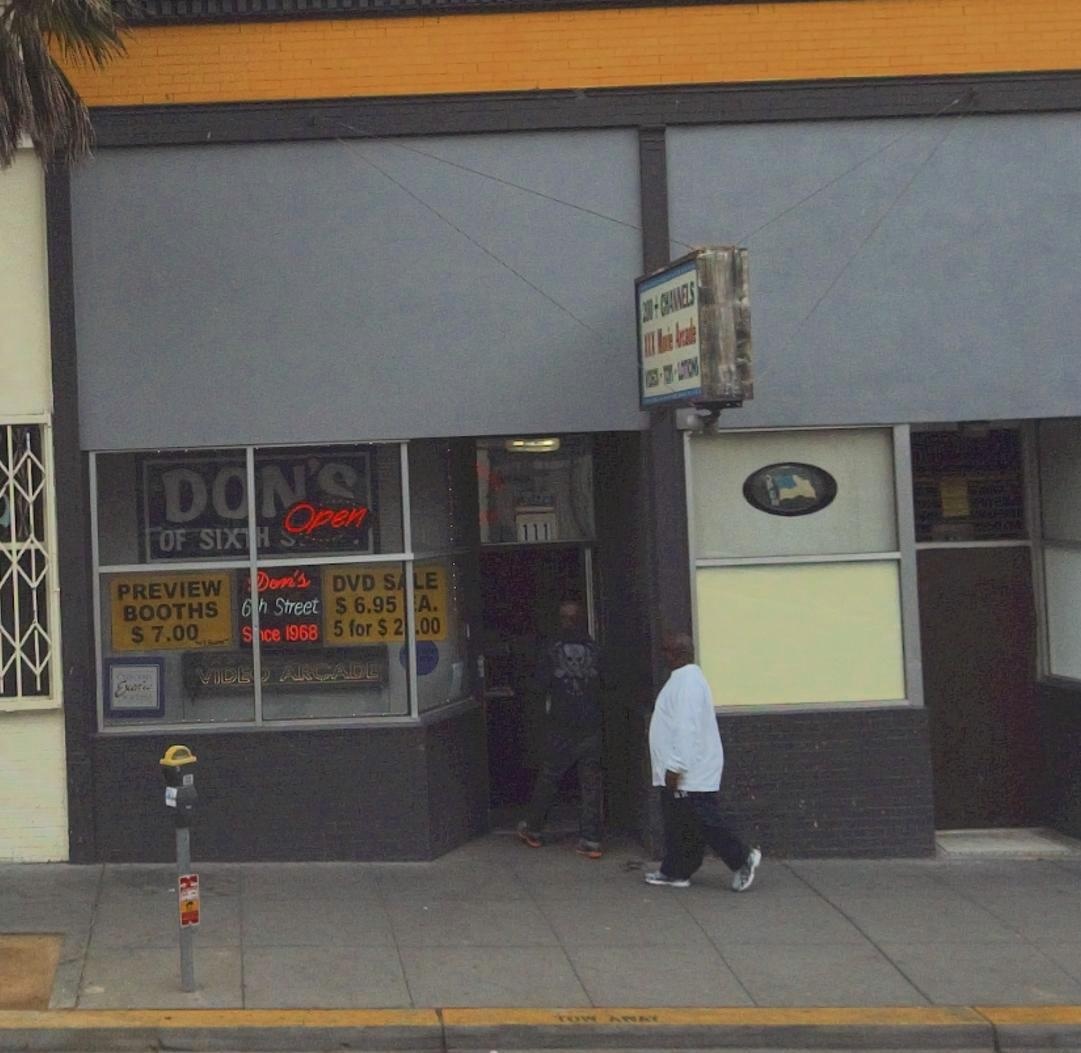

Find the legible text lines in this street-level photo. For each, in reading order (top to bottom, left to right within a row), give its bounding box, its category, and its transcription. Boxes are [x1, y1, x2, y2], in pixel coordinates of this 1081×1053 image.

[678, 277, 697, 311] None: ELS
[157, 461, 310, 526] BusinessName: D**
[761, 471, 783, 509] None: *P**
[155, 523, 272, 554] BusinessName: OF SIX**
[282, 501, 371, 537] None: Open
[519, 521, 551, 543] StreetNumber: 111
[115, 577, 224, 604] None: PREVIEW
[121, 598, 222, 625] None: BOOTHS
[239, 595, 322, 621] BusinessName: 6*h Street
[267, 566, 314, 593] BusinessName: on's
[330, 568, 442, 595] None: DVD S*LE
[351, 591, 440, 617] None: 6.95 *A.
[149, 621, 201, 645] None: 7.00
[239, 621, 320, 644] None: S**ce 1968
[331, 614, 444, 640] None: 5 for $ 2*.00
[191, 658, 382, 687] None: VIDE* ARCADE
[551, 1012, 662, 1025] None: TOW AWA*